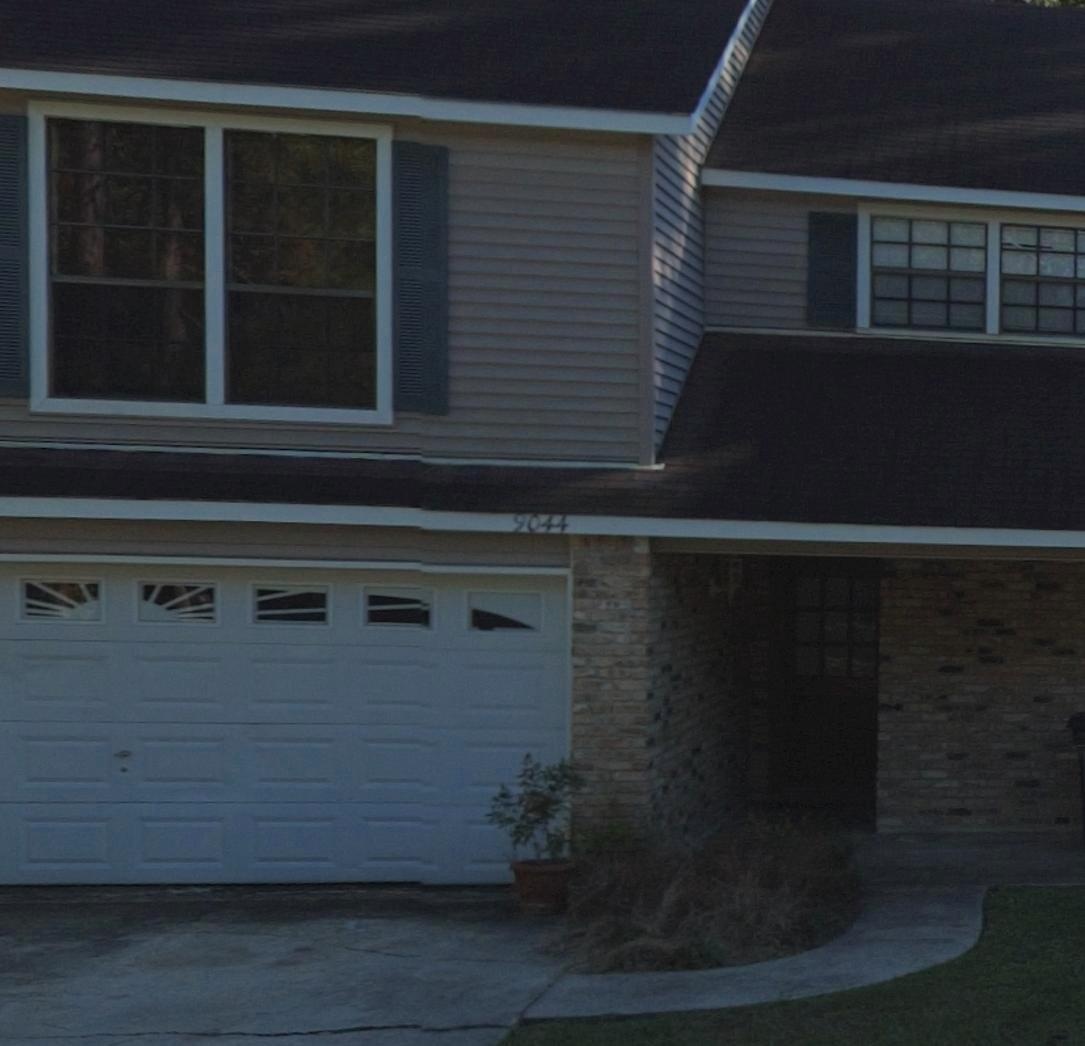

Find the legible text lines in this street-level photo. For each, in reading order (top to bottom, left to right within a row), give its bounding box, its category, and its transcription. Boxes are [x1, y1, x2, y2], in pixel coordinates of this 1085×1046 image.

[511, 513, 568, 534] StreetNumber: 9044